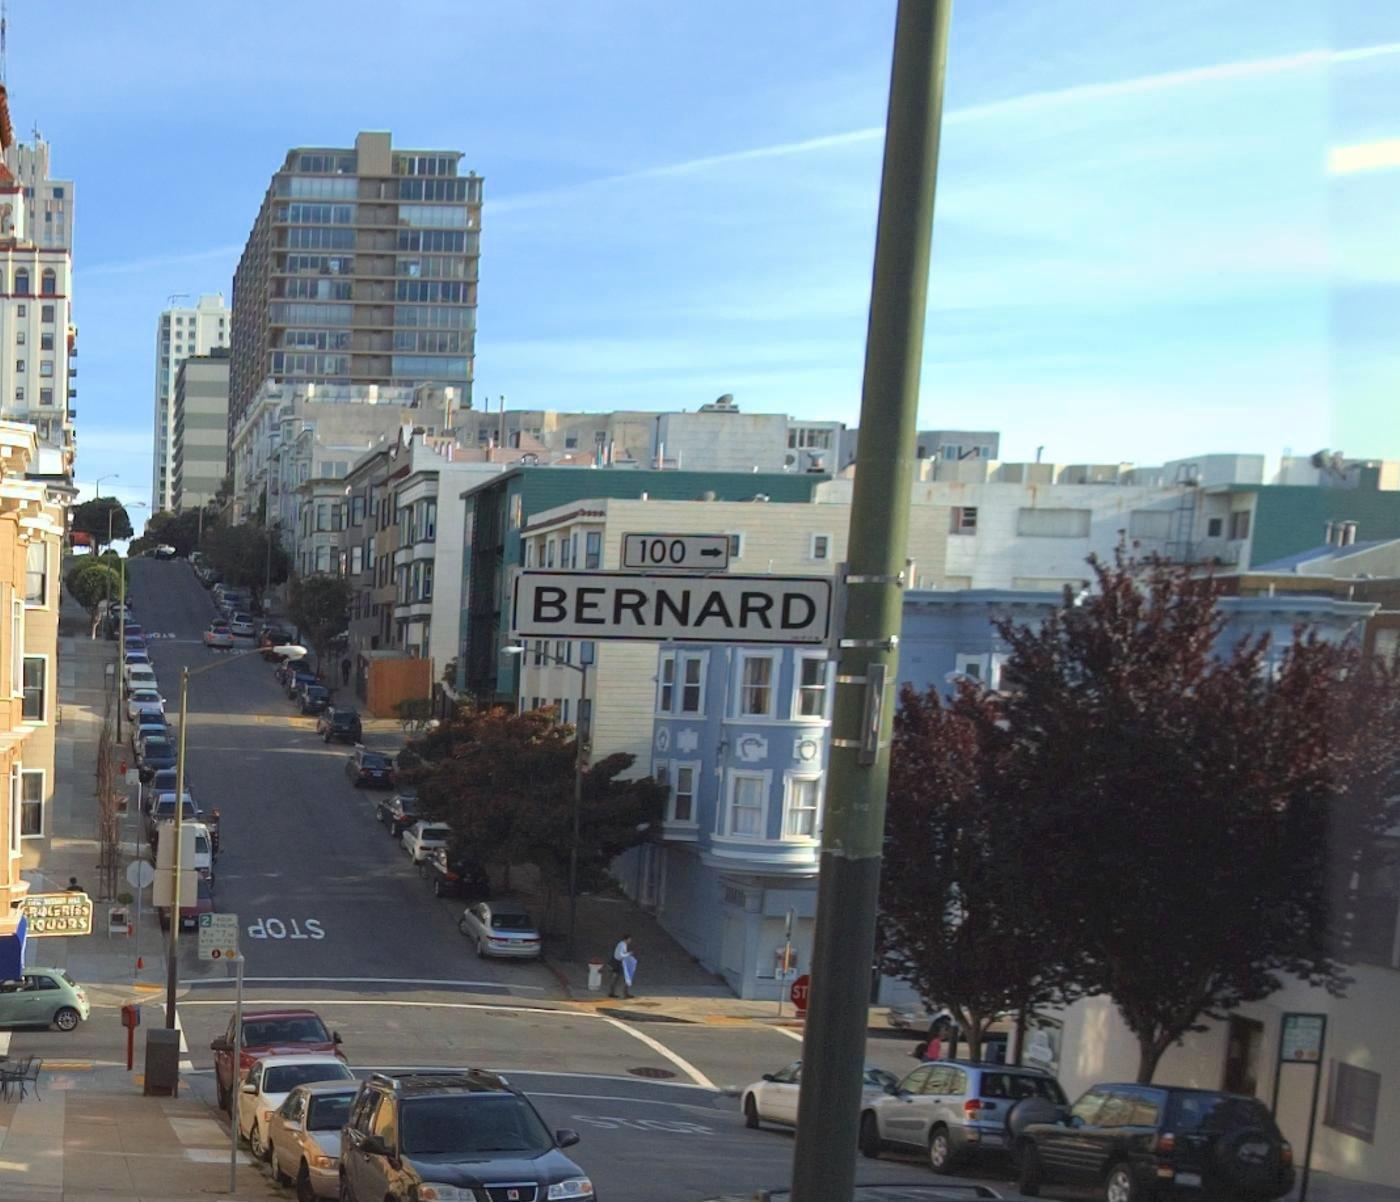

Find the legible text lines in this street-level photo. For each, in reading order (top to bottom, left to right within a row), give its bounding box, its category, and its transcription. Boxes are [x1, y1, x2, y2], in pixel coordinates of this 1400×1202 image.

[635, 535, 726, 567] StreetNumberRange: 100 ->
[528, 582, 821, 633] StreetName: BERNARD
[198, 912, 212, 928] None: 2
[241, 914, 329, 942] None: *O**
[790, 982, 811, 1001] None: ST
[559, 1111, 720, 1139] None: STOP